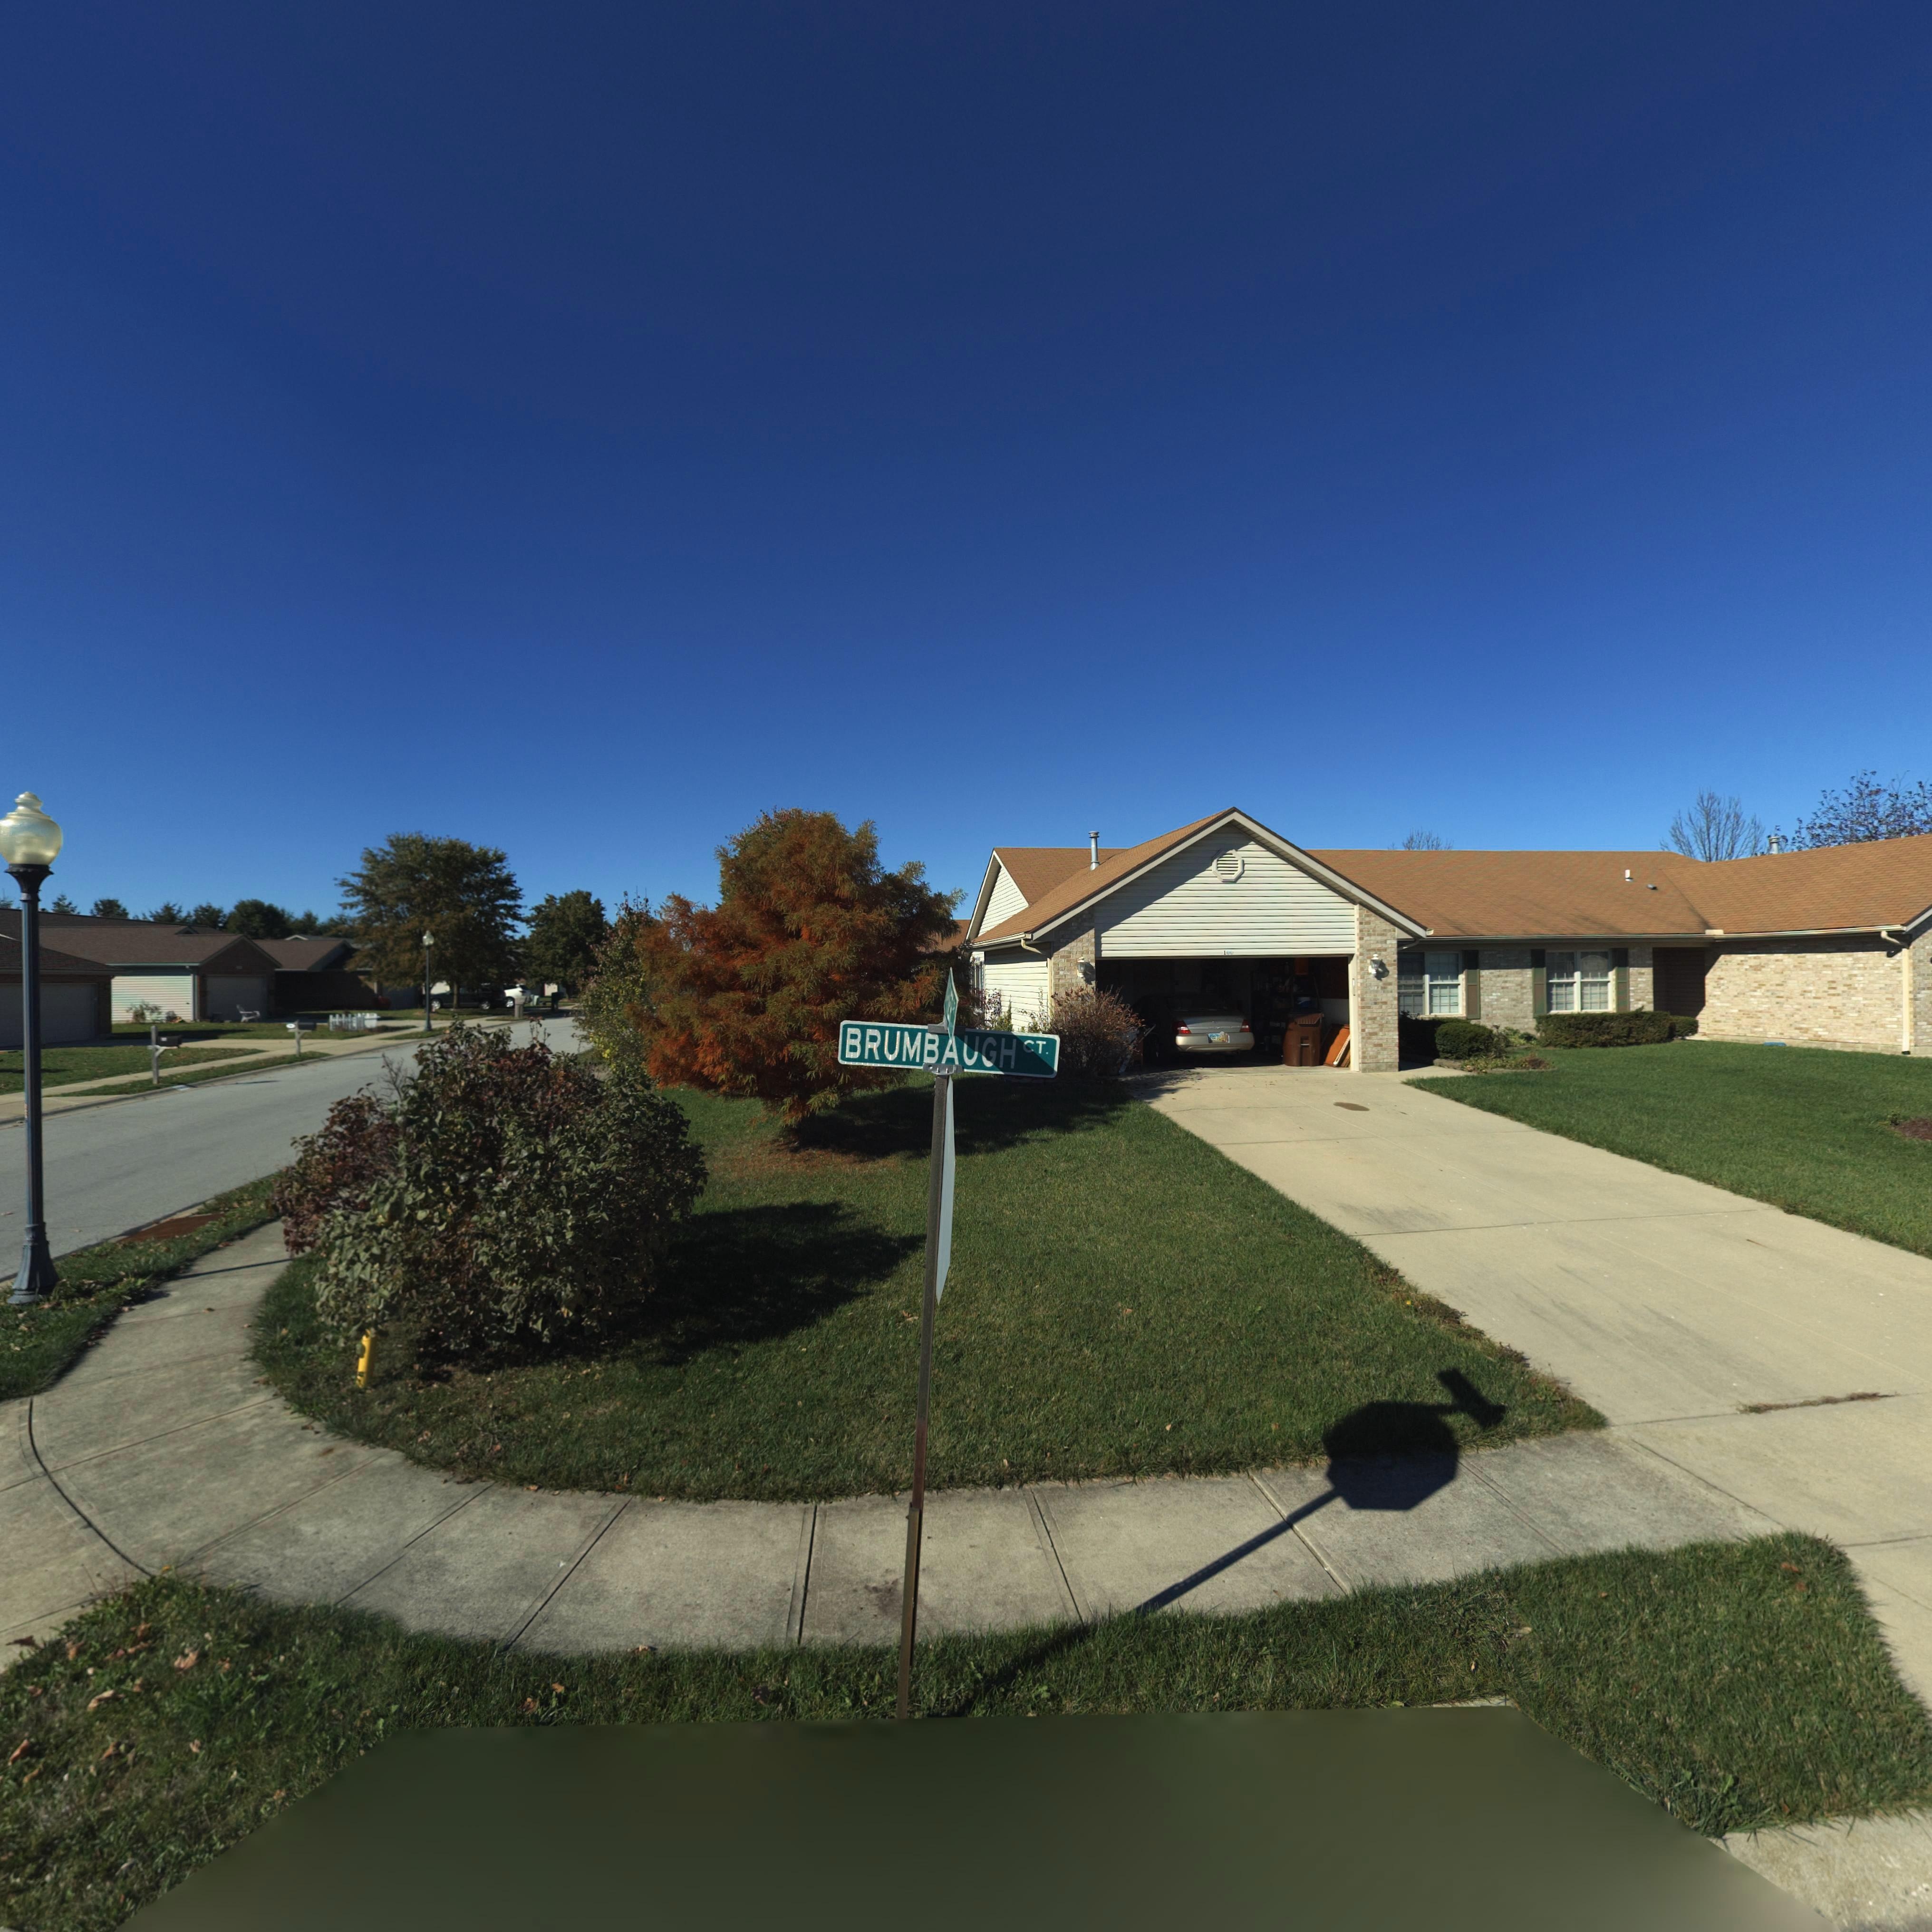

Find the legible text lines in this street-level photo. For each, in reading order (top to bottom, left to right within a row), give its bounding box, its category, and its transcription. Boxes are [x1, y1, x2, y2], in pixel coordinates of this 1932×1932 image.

[1223, 950, 1234, 955] StreetNumber: 100
[842, 1022, 1053, 1075] None: BRUMBAUGH CT.